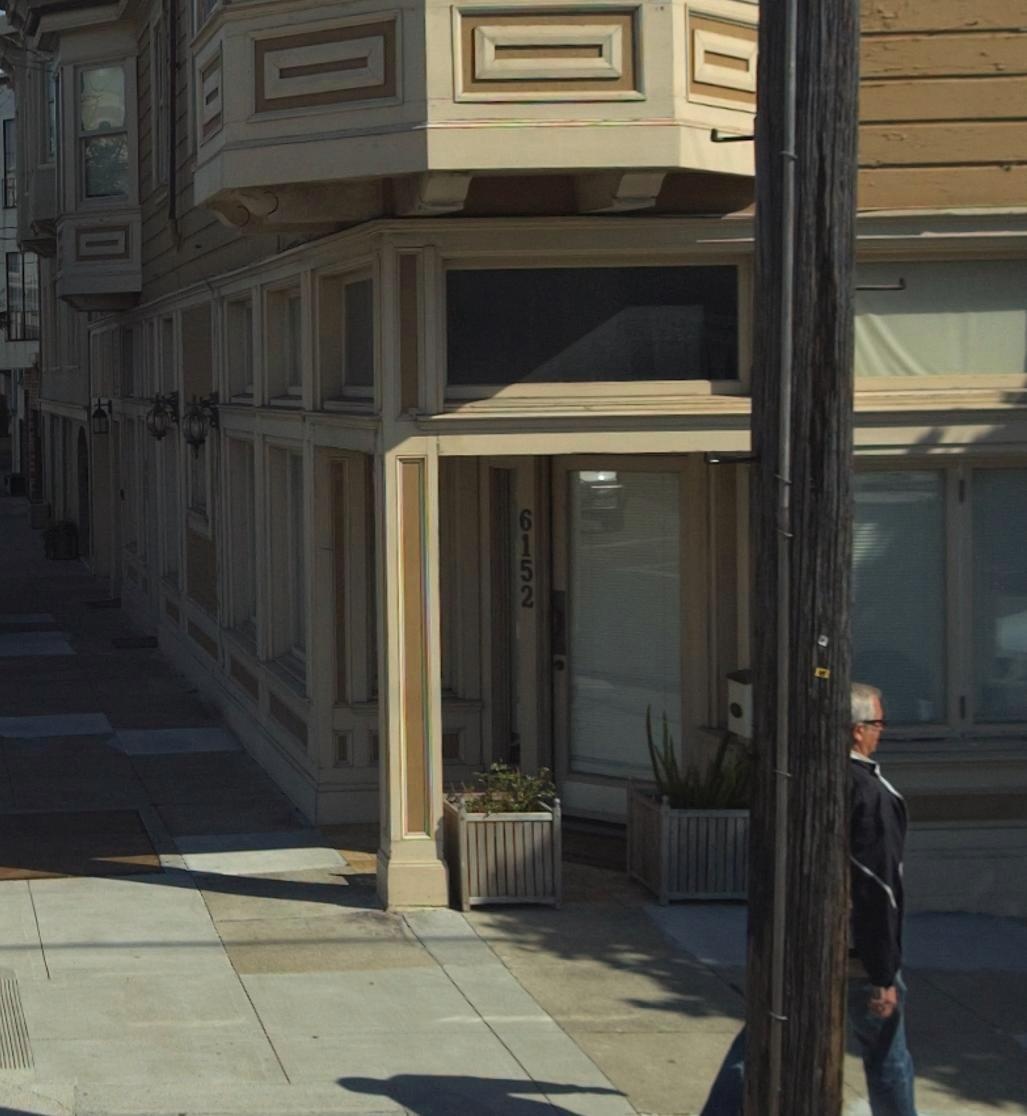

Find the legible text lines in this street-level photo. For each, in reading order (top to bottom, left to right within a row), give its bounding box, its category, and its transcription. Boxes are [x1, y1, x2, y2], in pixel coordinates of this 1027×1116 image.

[517, 505, 536, 610] StreetNumber: 6152